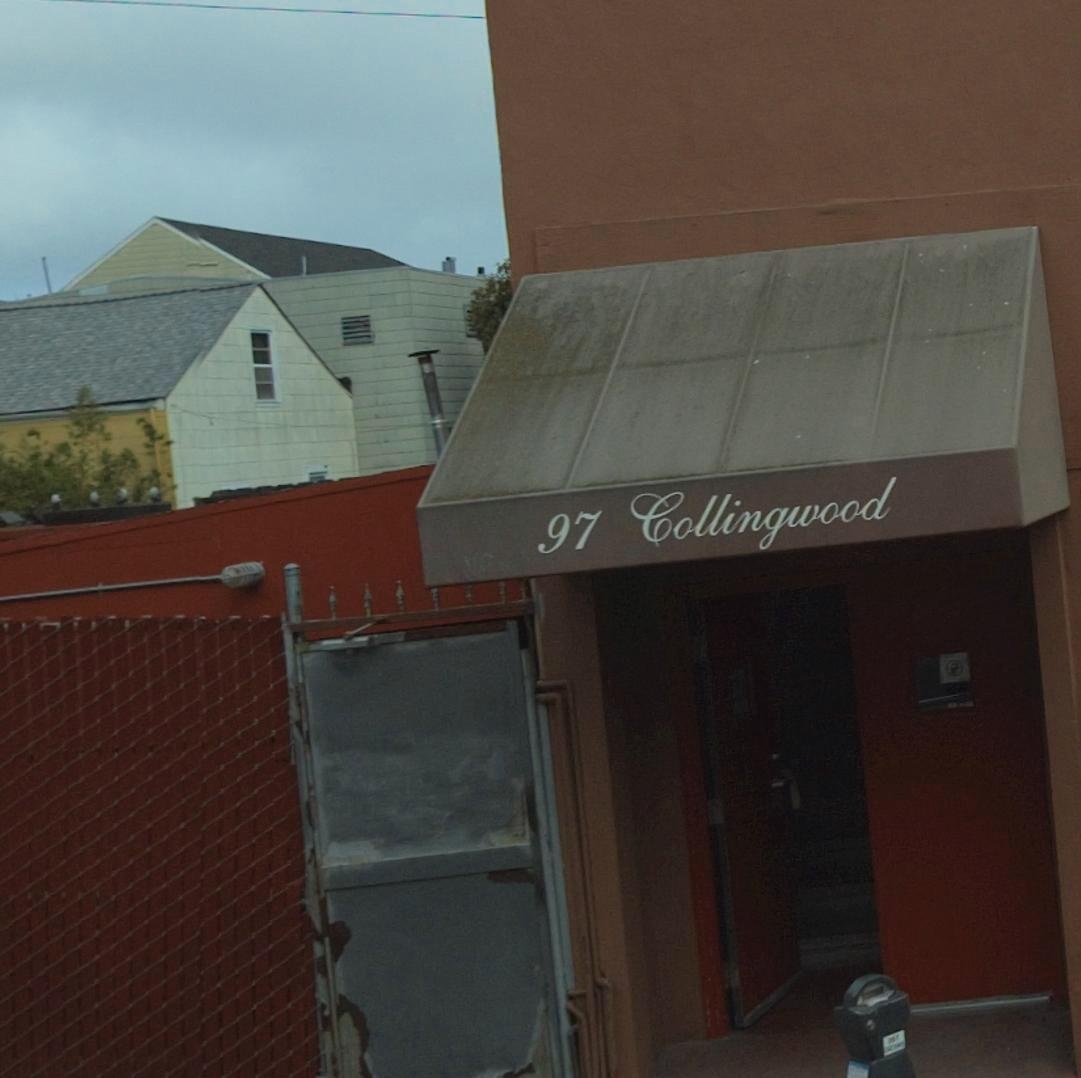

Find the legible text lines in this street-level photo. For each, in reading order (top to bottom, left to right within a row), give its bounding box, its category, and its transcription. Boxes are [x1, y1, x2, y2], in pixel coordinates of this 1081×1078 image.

[535, 509, 607, 557] StreetNumber: 97
[625, 473, 901, 553] StreetName: Collingwood